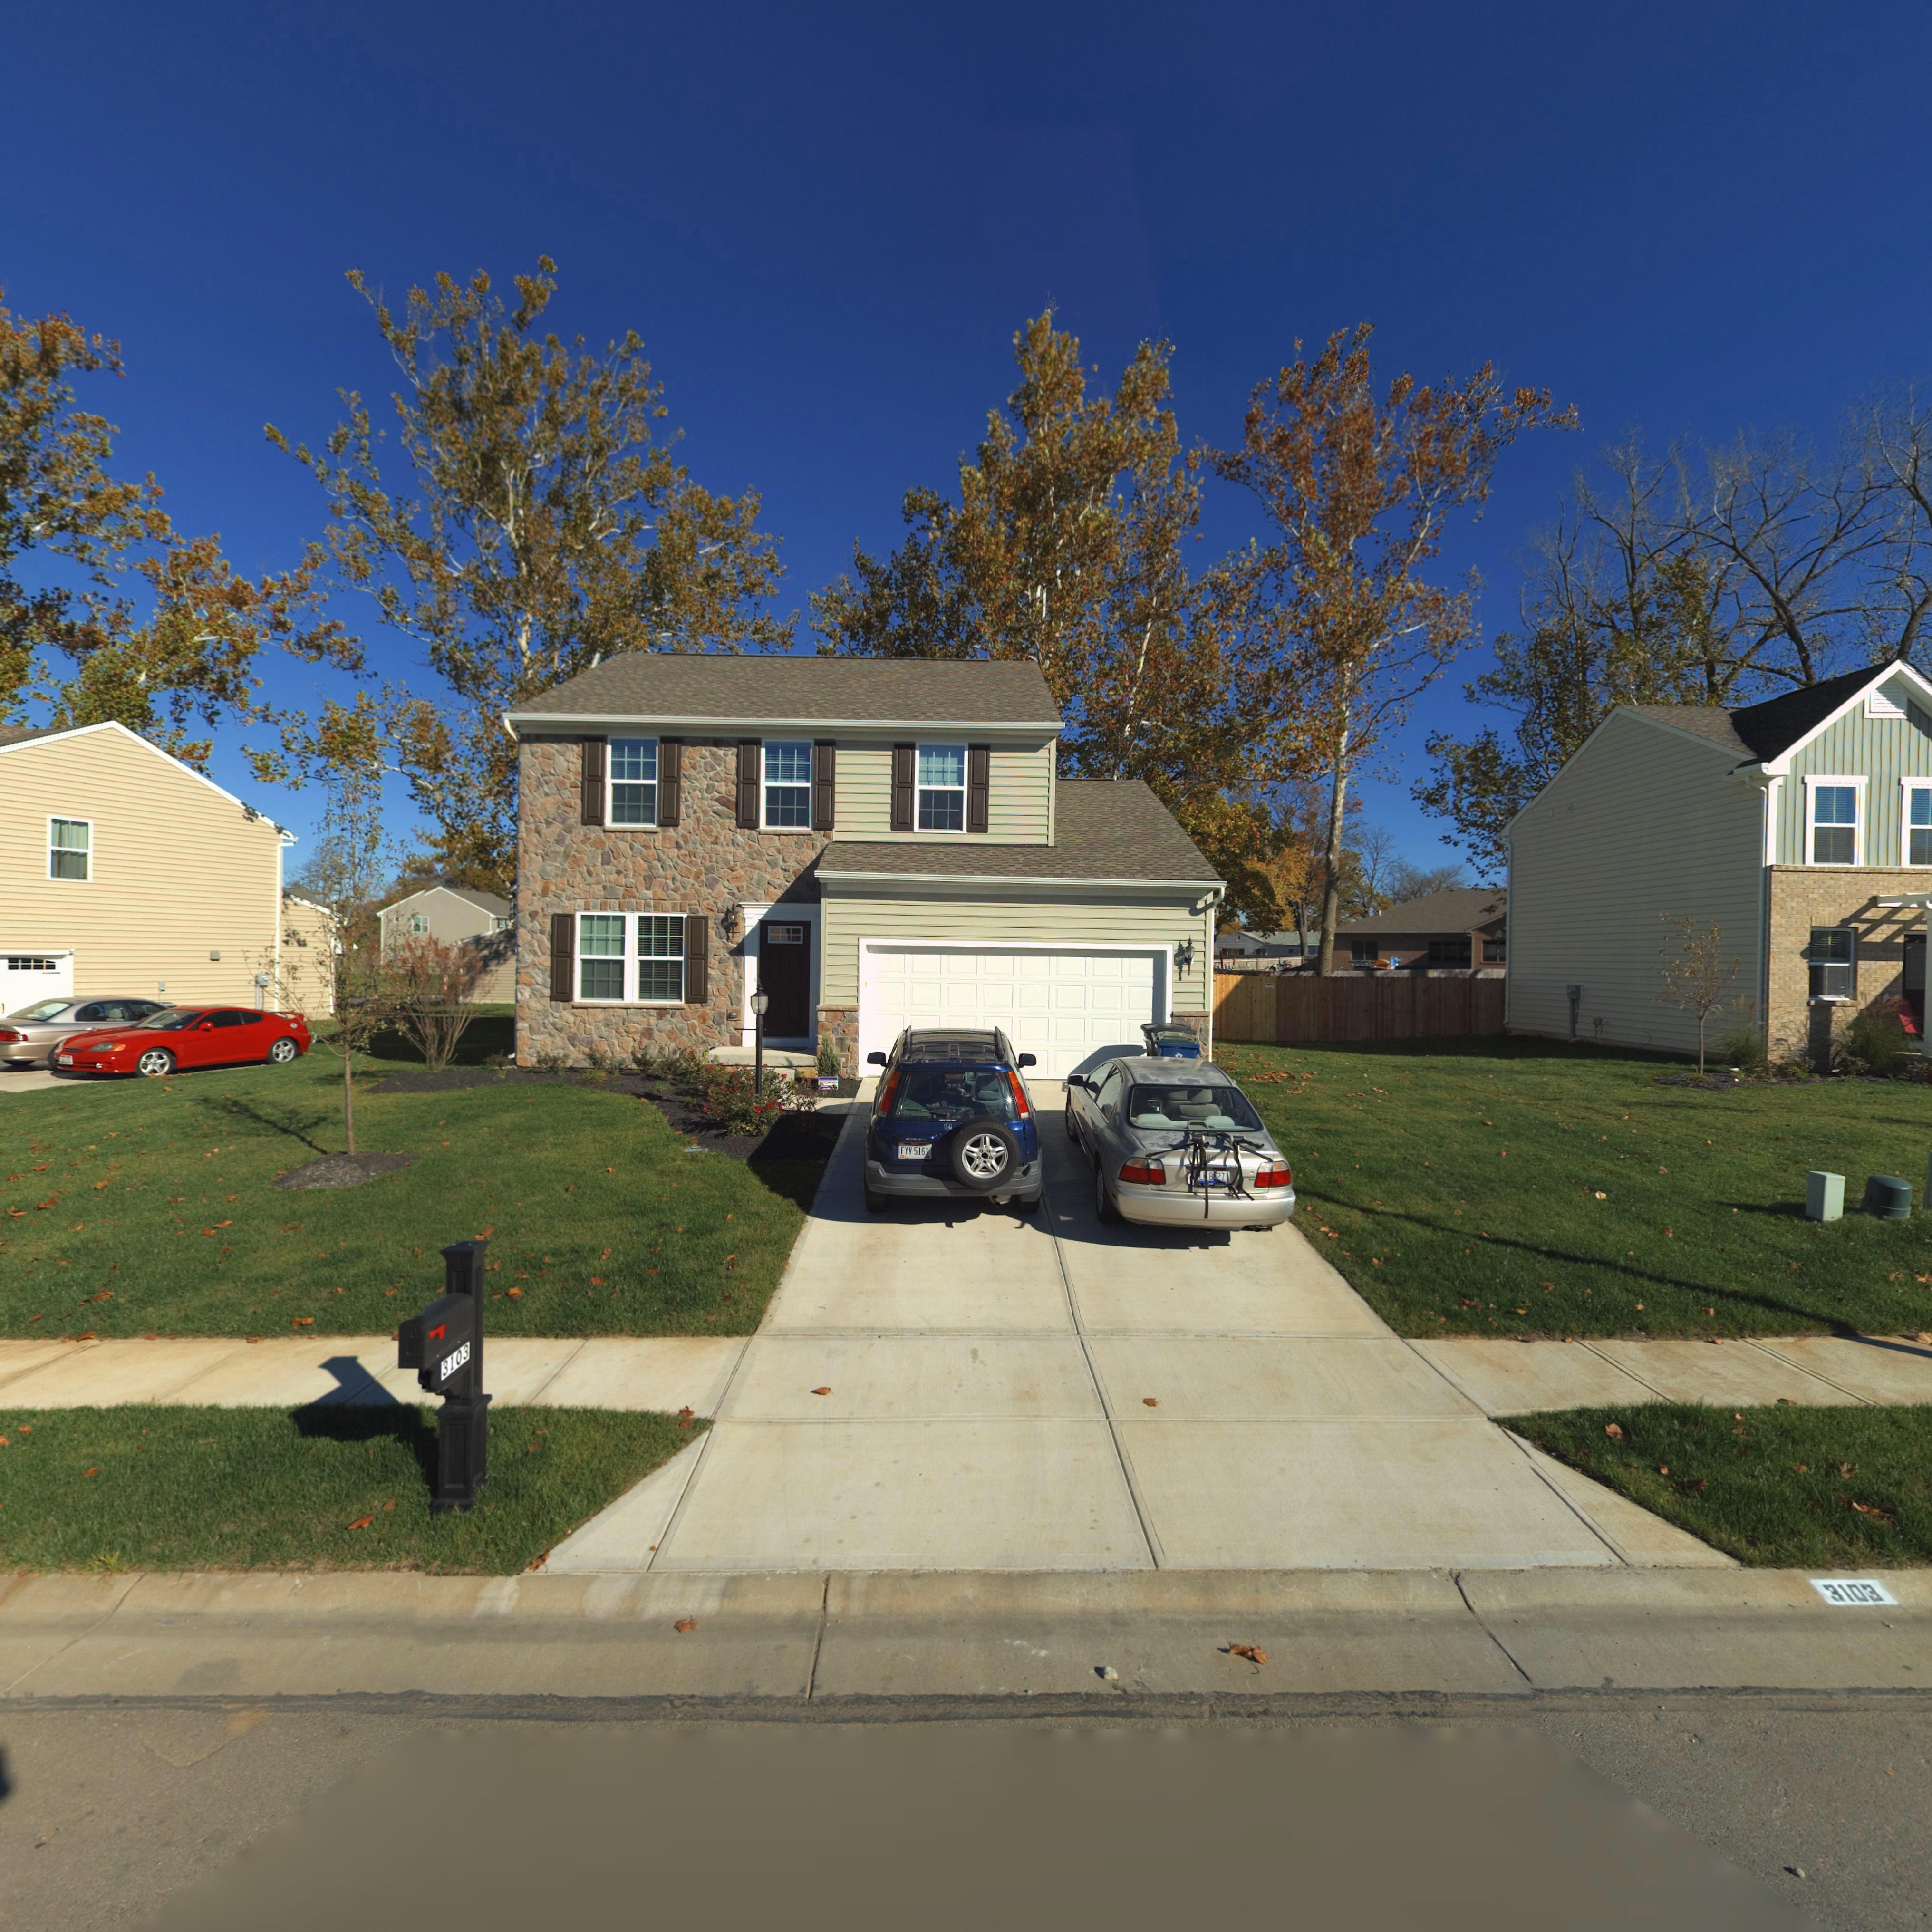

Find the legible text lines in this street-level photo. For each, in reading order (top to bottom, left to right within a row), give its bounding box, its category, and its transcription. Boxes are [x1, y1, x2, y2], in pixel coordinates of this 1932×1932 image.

[441, 1343, 469, 1378] StreetNumber: 3103
[1821, 1583, 1886, 1603] StreetNumber: 3103